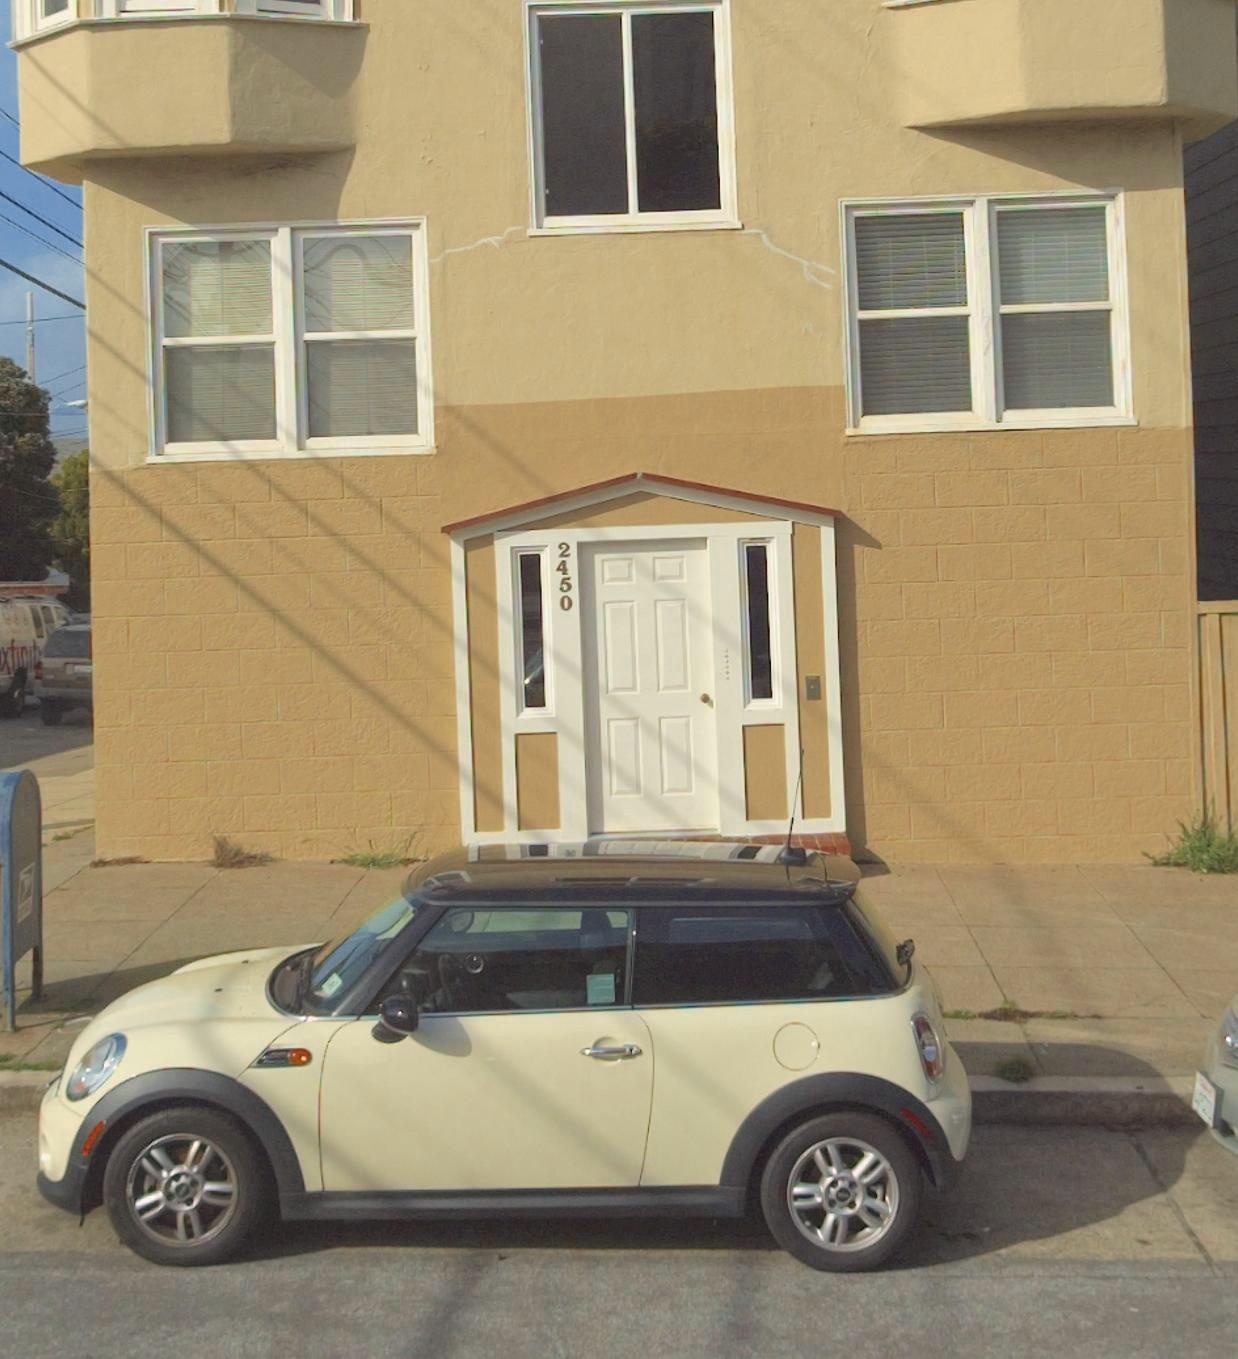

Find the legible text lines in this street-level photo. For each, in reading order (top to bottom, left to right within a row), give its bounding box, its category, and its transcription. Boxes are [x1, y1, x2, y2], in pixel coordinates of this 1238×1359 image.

[554, 540, 575, 614] StreetNumber: 2450